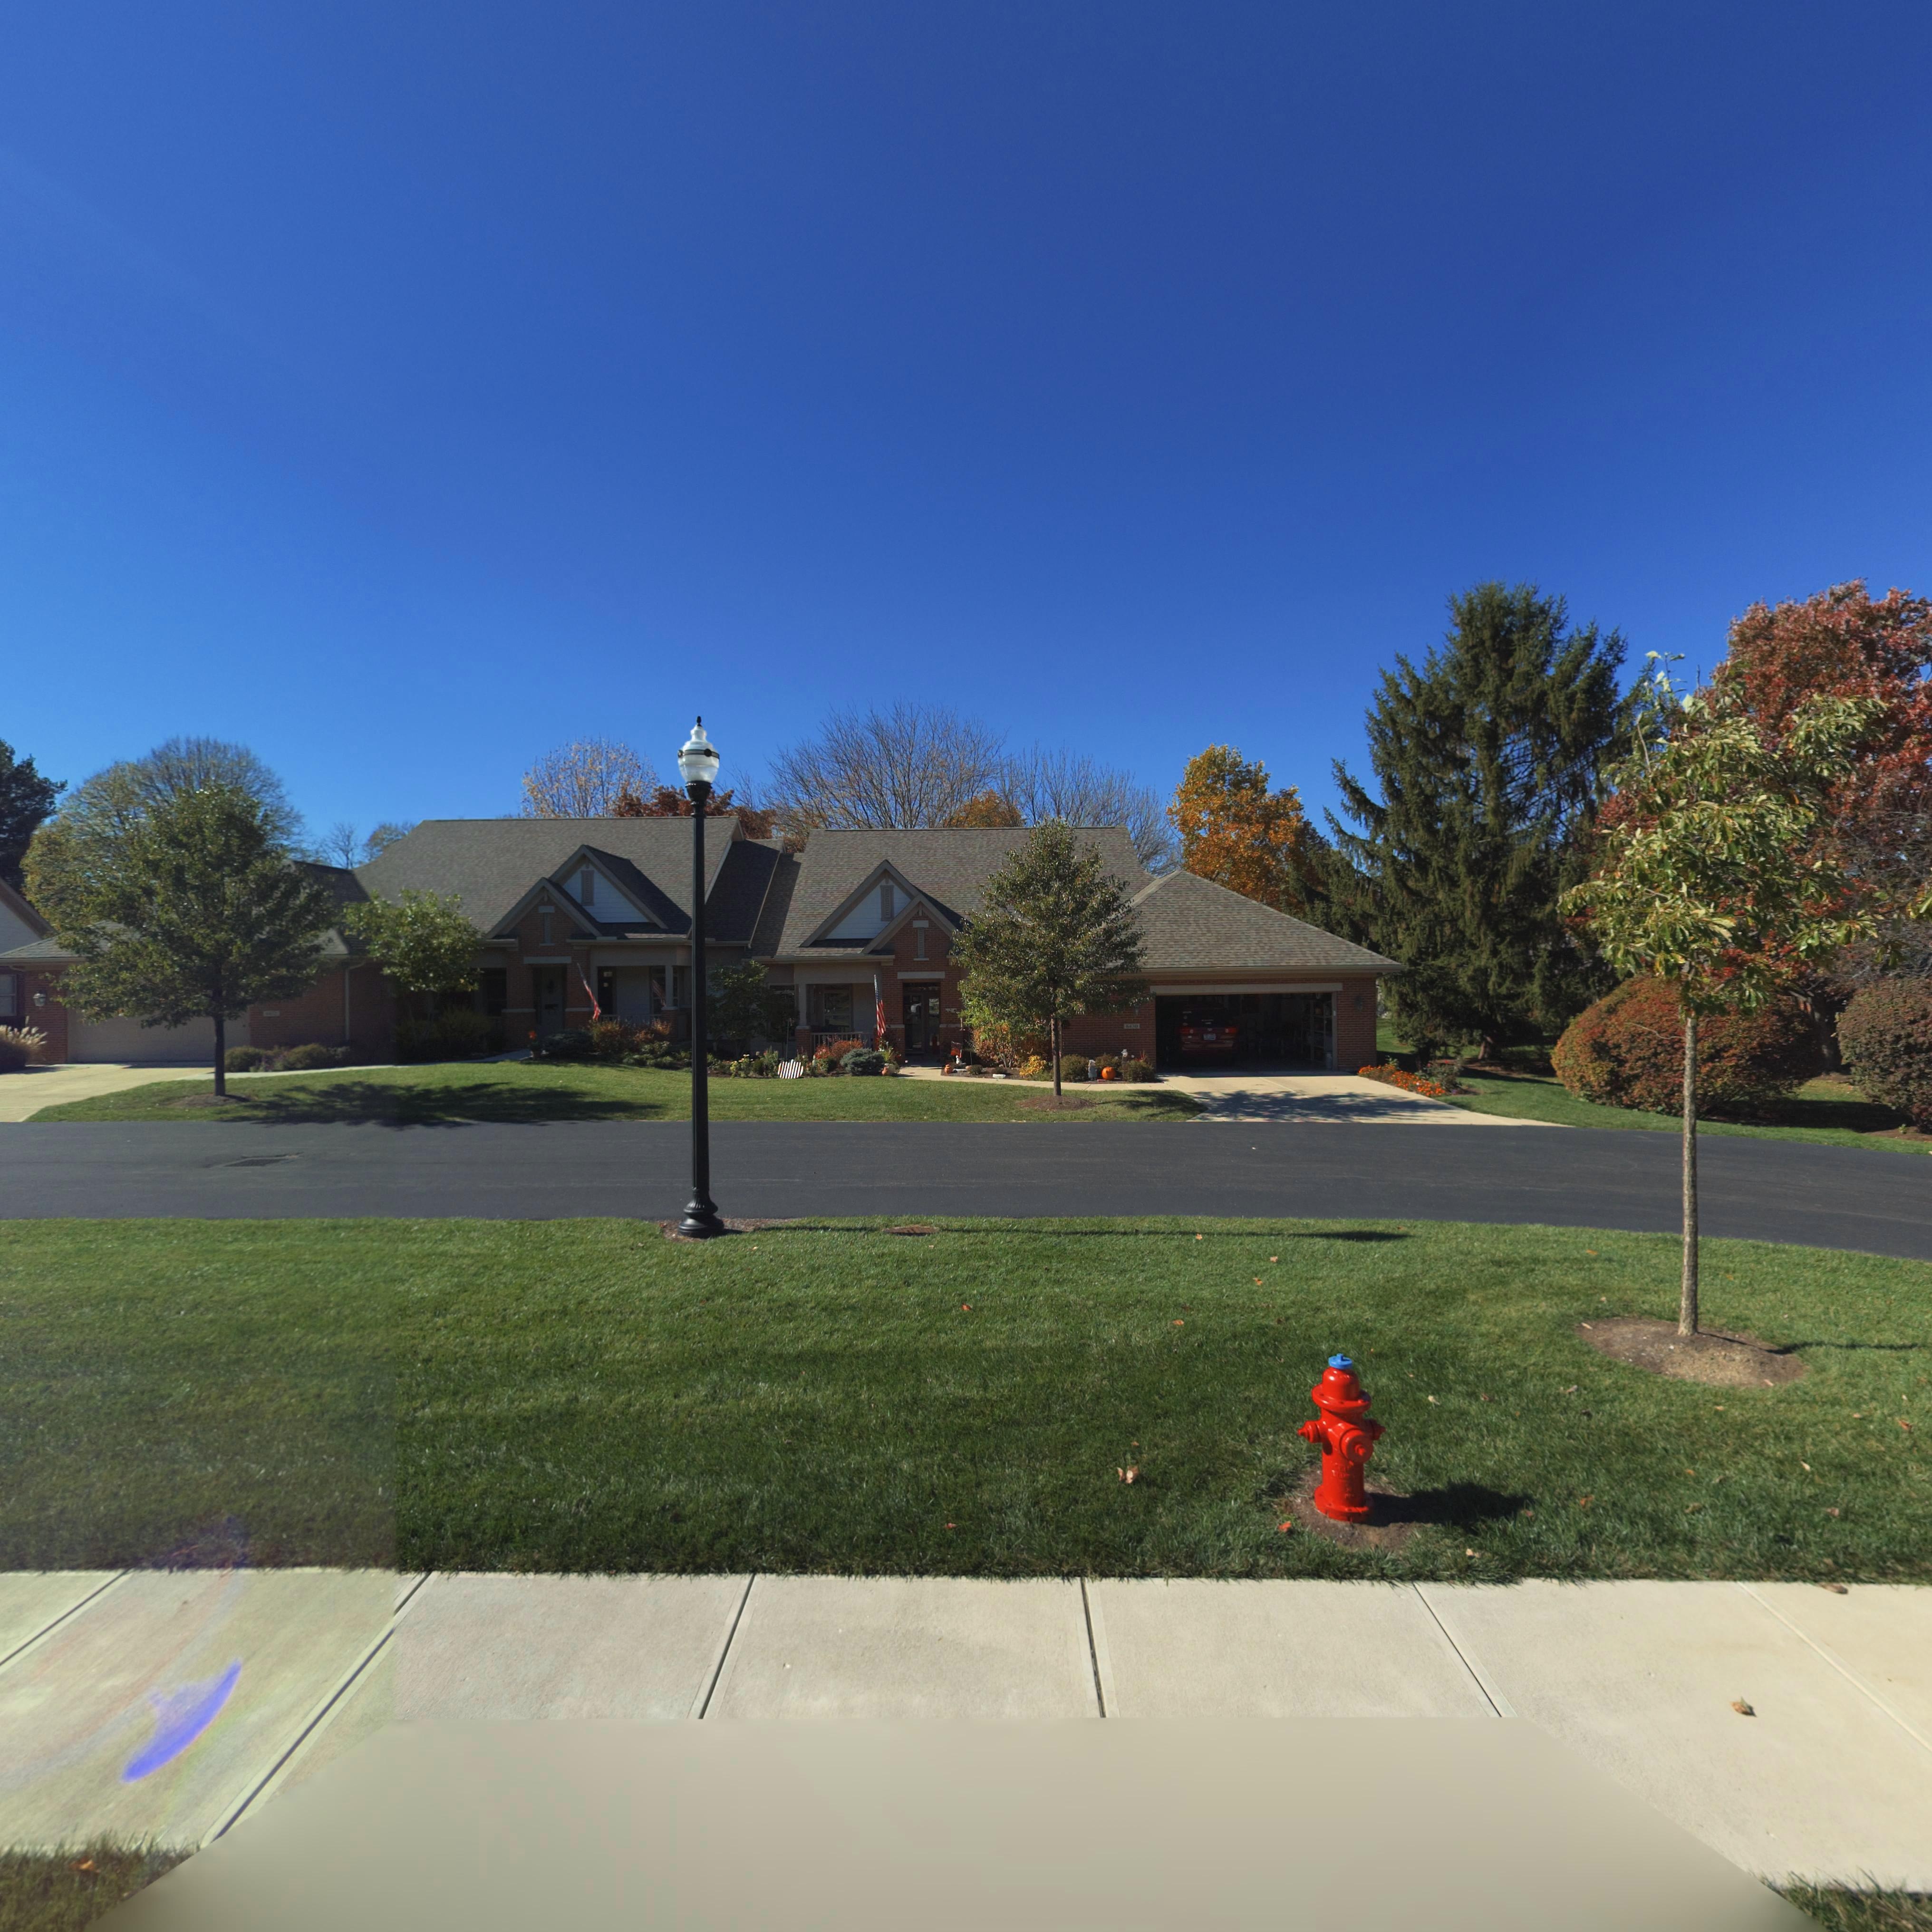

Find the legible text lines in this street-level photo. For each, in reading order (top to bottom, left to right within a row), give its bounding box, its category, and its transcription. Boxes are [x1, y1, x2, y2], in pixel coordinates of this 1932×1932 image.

[1125, 1024, 1139, 1029] StreetNumber: 6430